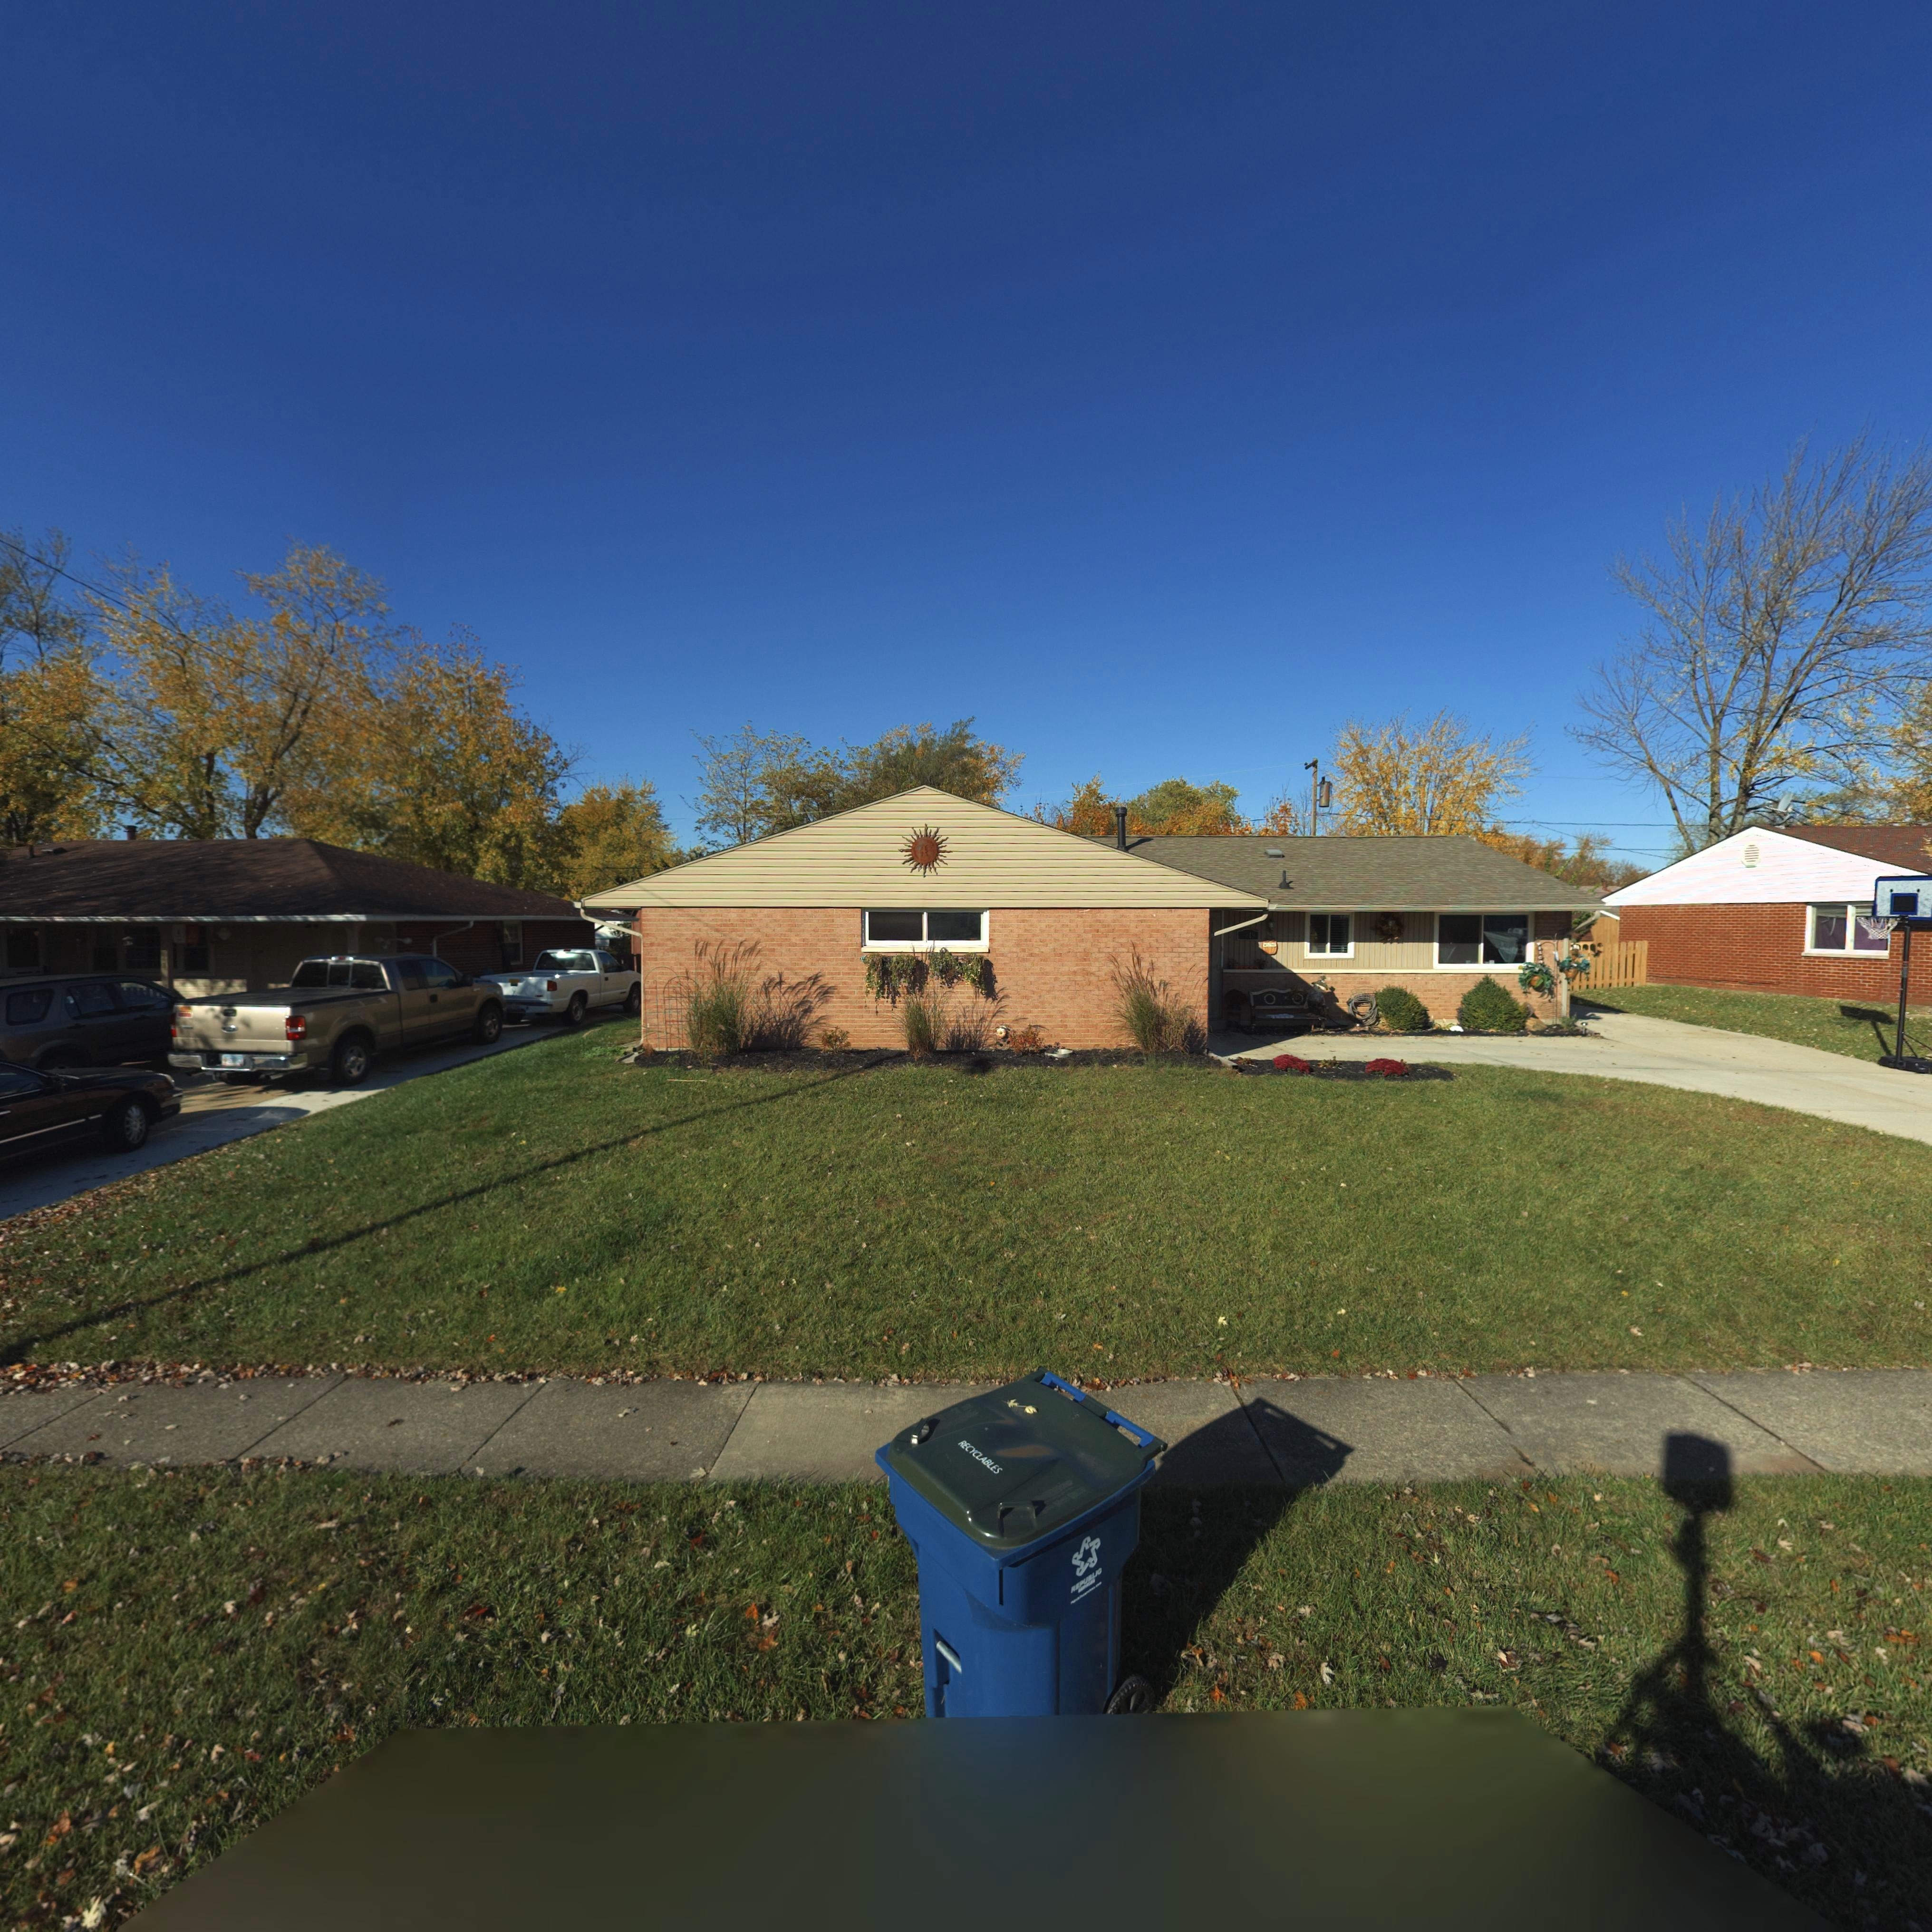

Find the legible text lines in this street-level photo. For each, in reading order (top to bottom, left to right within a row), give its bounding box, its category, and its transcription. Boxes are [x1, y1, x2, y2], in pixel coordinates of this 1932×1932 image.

[1239, 931, 1256, 939] StreetNumber: **1*